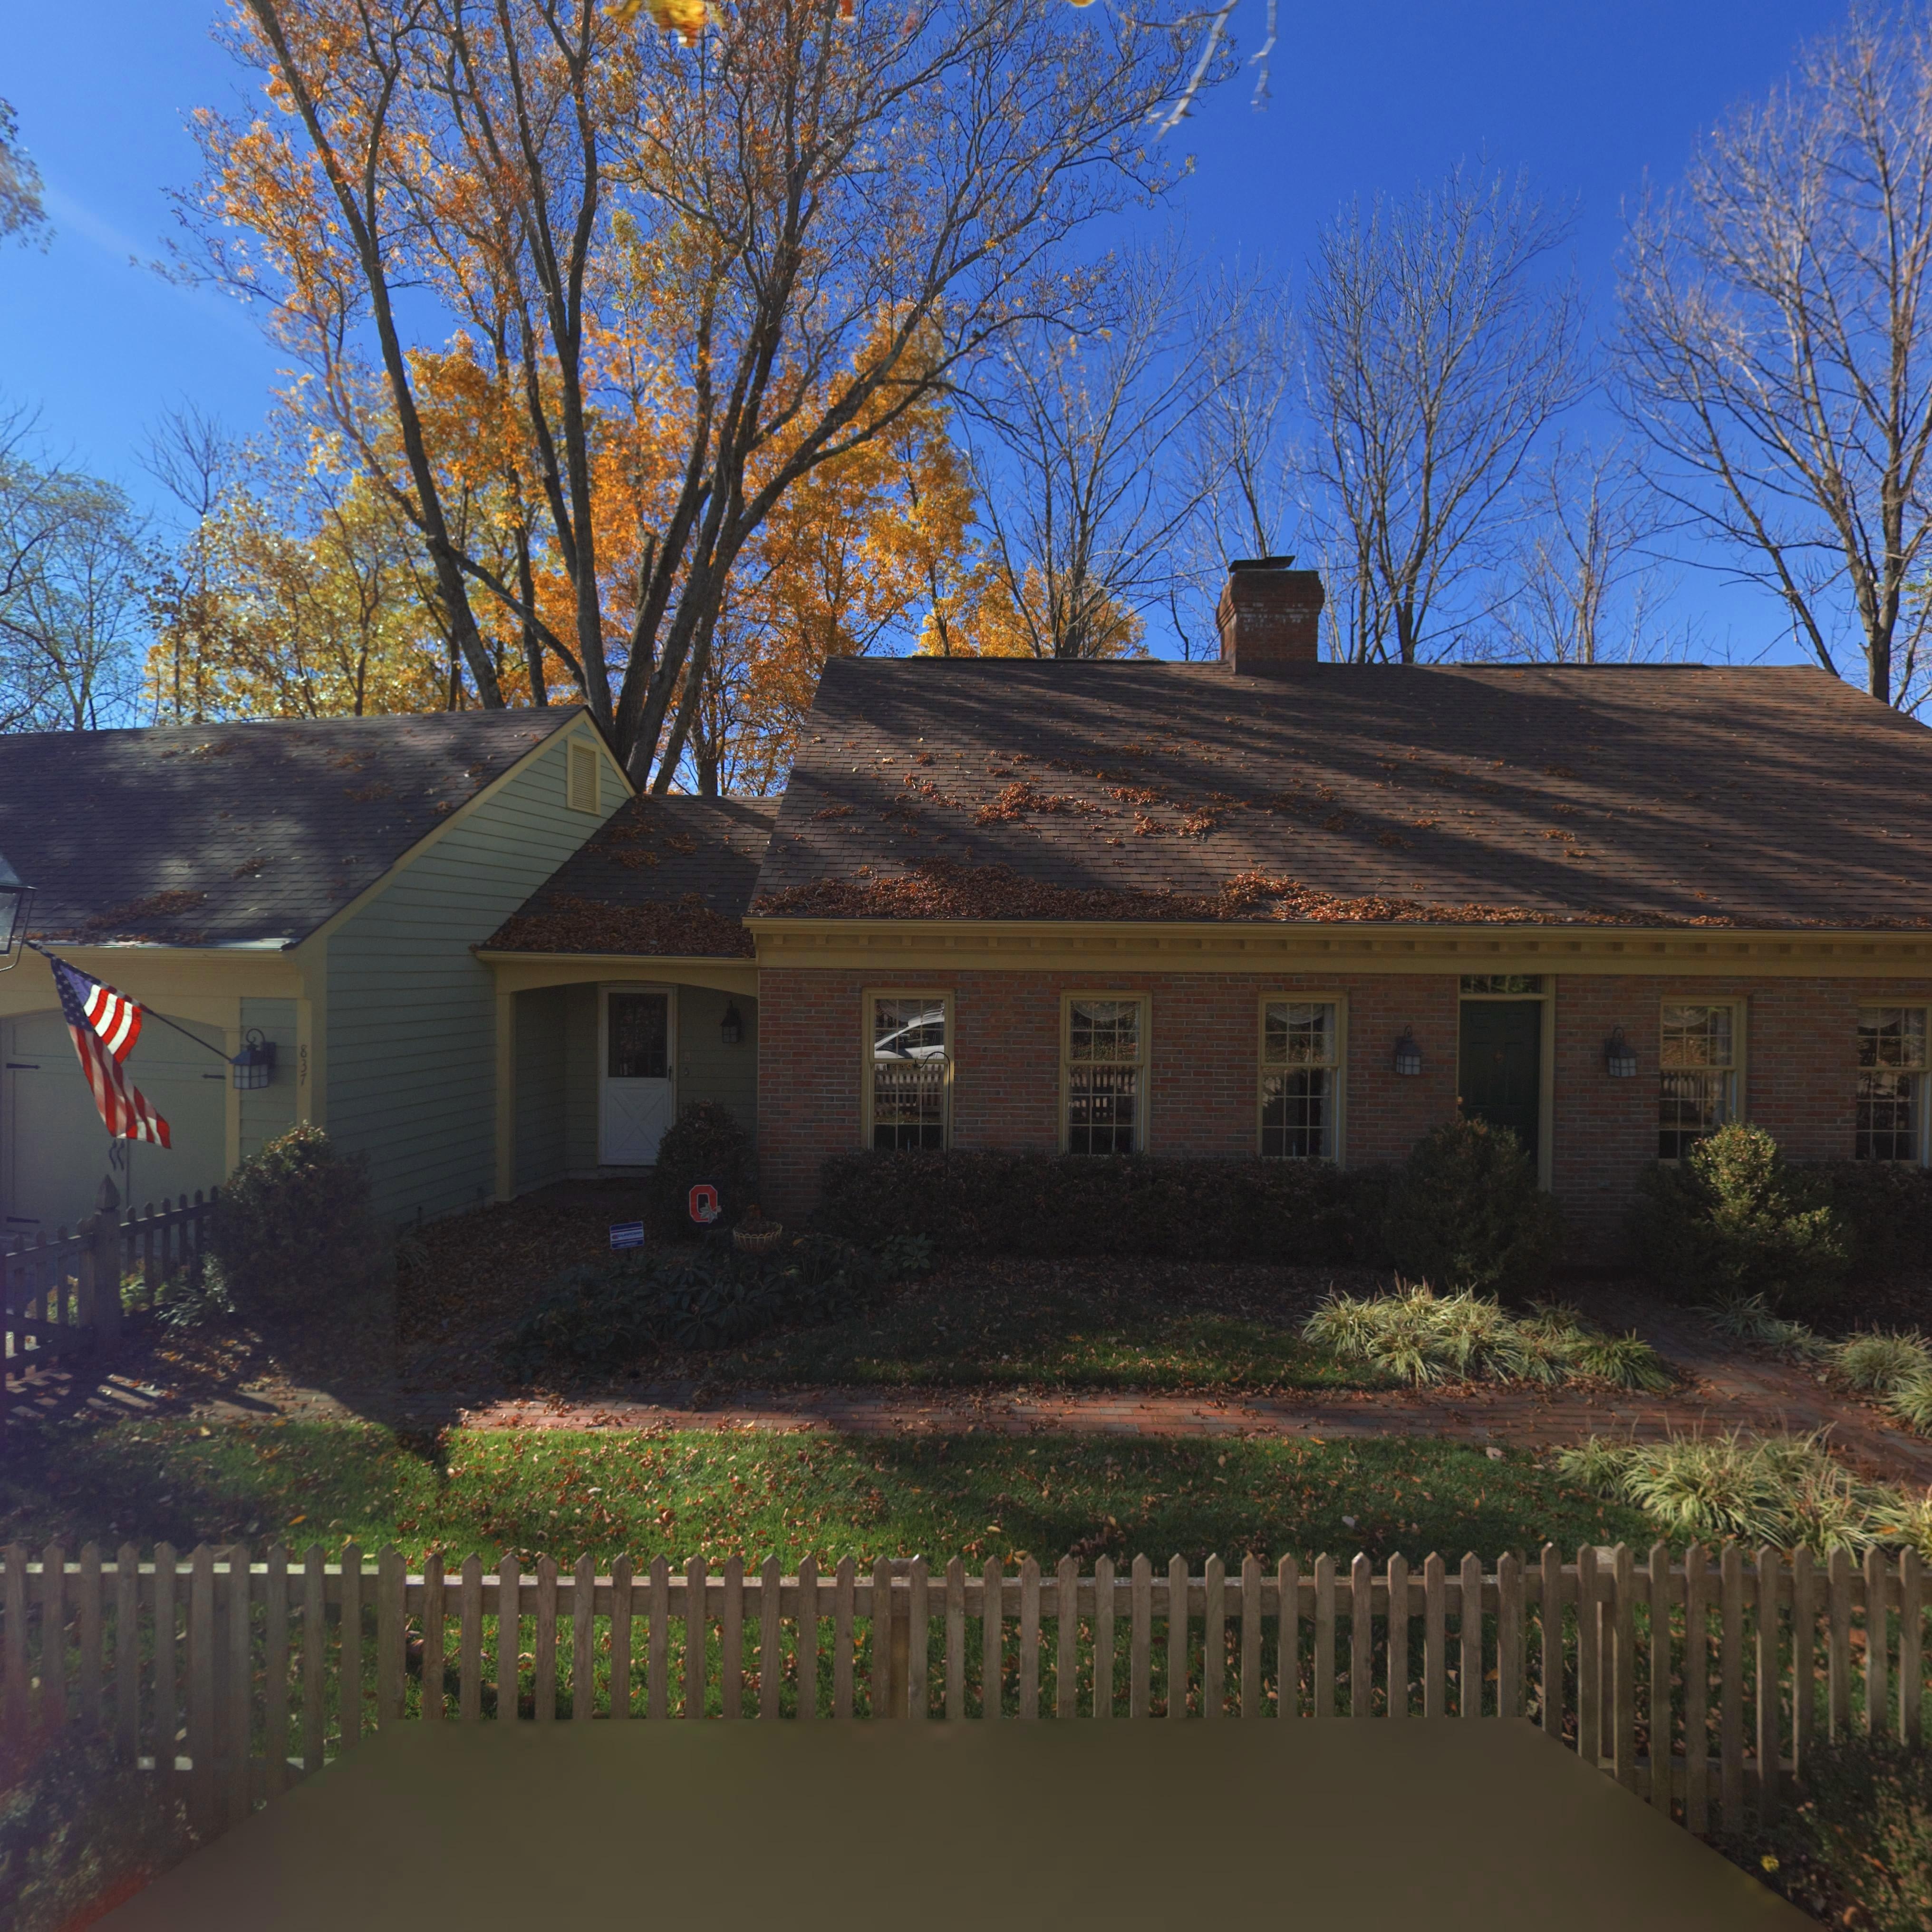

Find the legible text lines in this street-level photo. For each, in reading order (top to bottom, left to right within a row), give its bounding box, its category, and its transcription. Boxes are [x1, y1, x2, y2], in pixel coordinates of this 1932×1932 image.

[299, 1043, 309, 1087] StreetNumber: 837
[688, 1183, 719, 1224] None: O